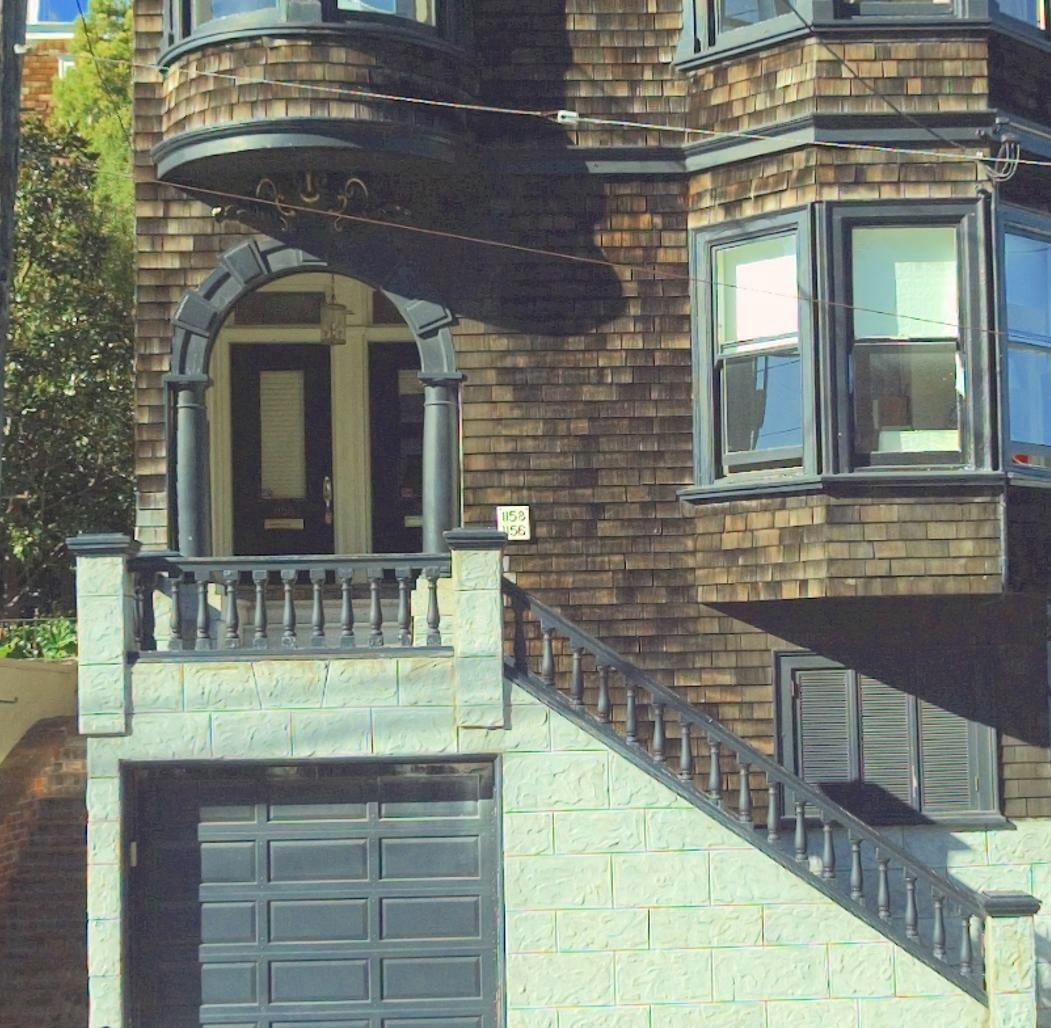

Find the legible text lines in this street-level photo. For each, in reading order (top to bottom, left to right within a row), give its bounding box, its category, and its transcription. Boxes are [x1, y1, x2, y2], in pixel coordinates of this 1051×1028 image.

[501, 509, 527, 523] StreetNumber: 1158
[501, 523, 527, 536] StreetNumber: **56